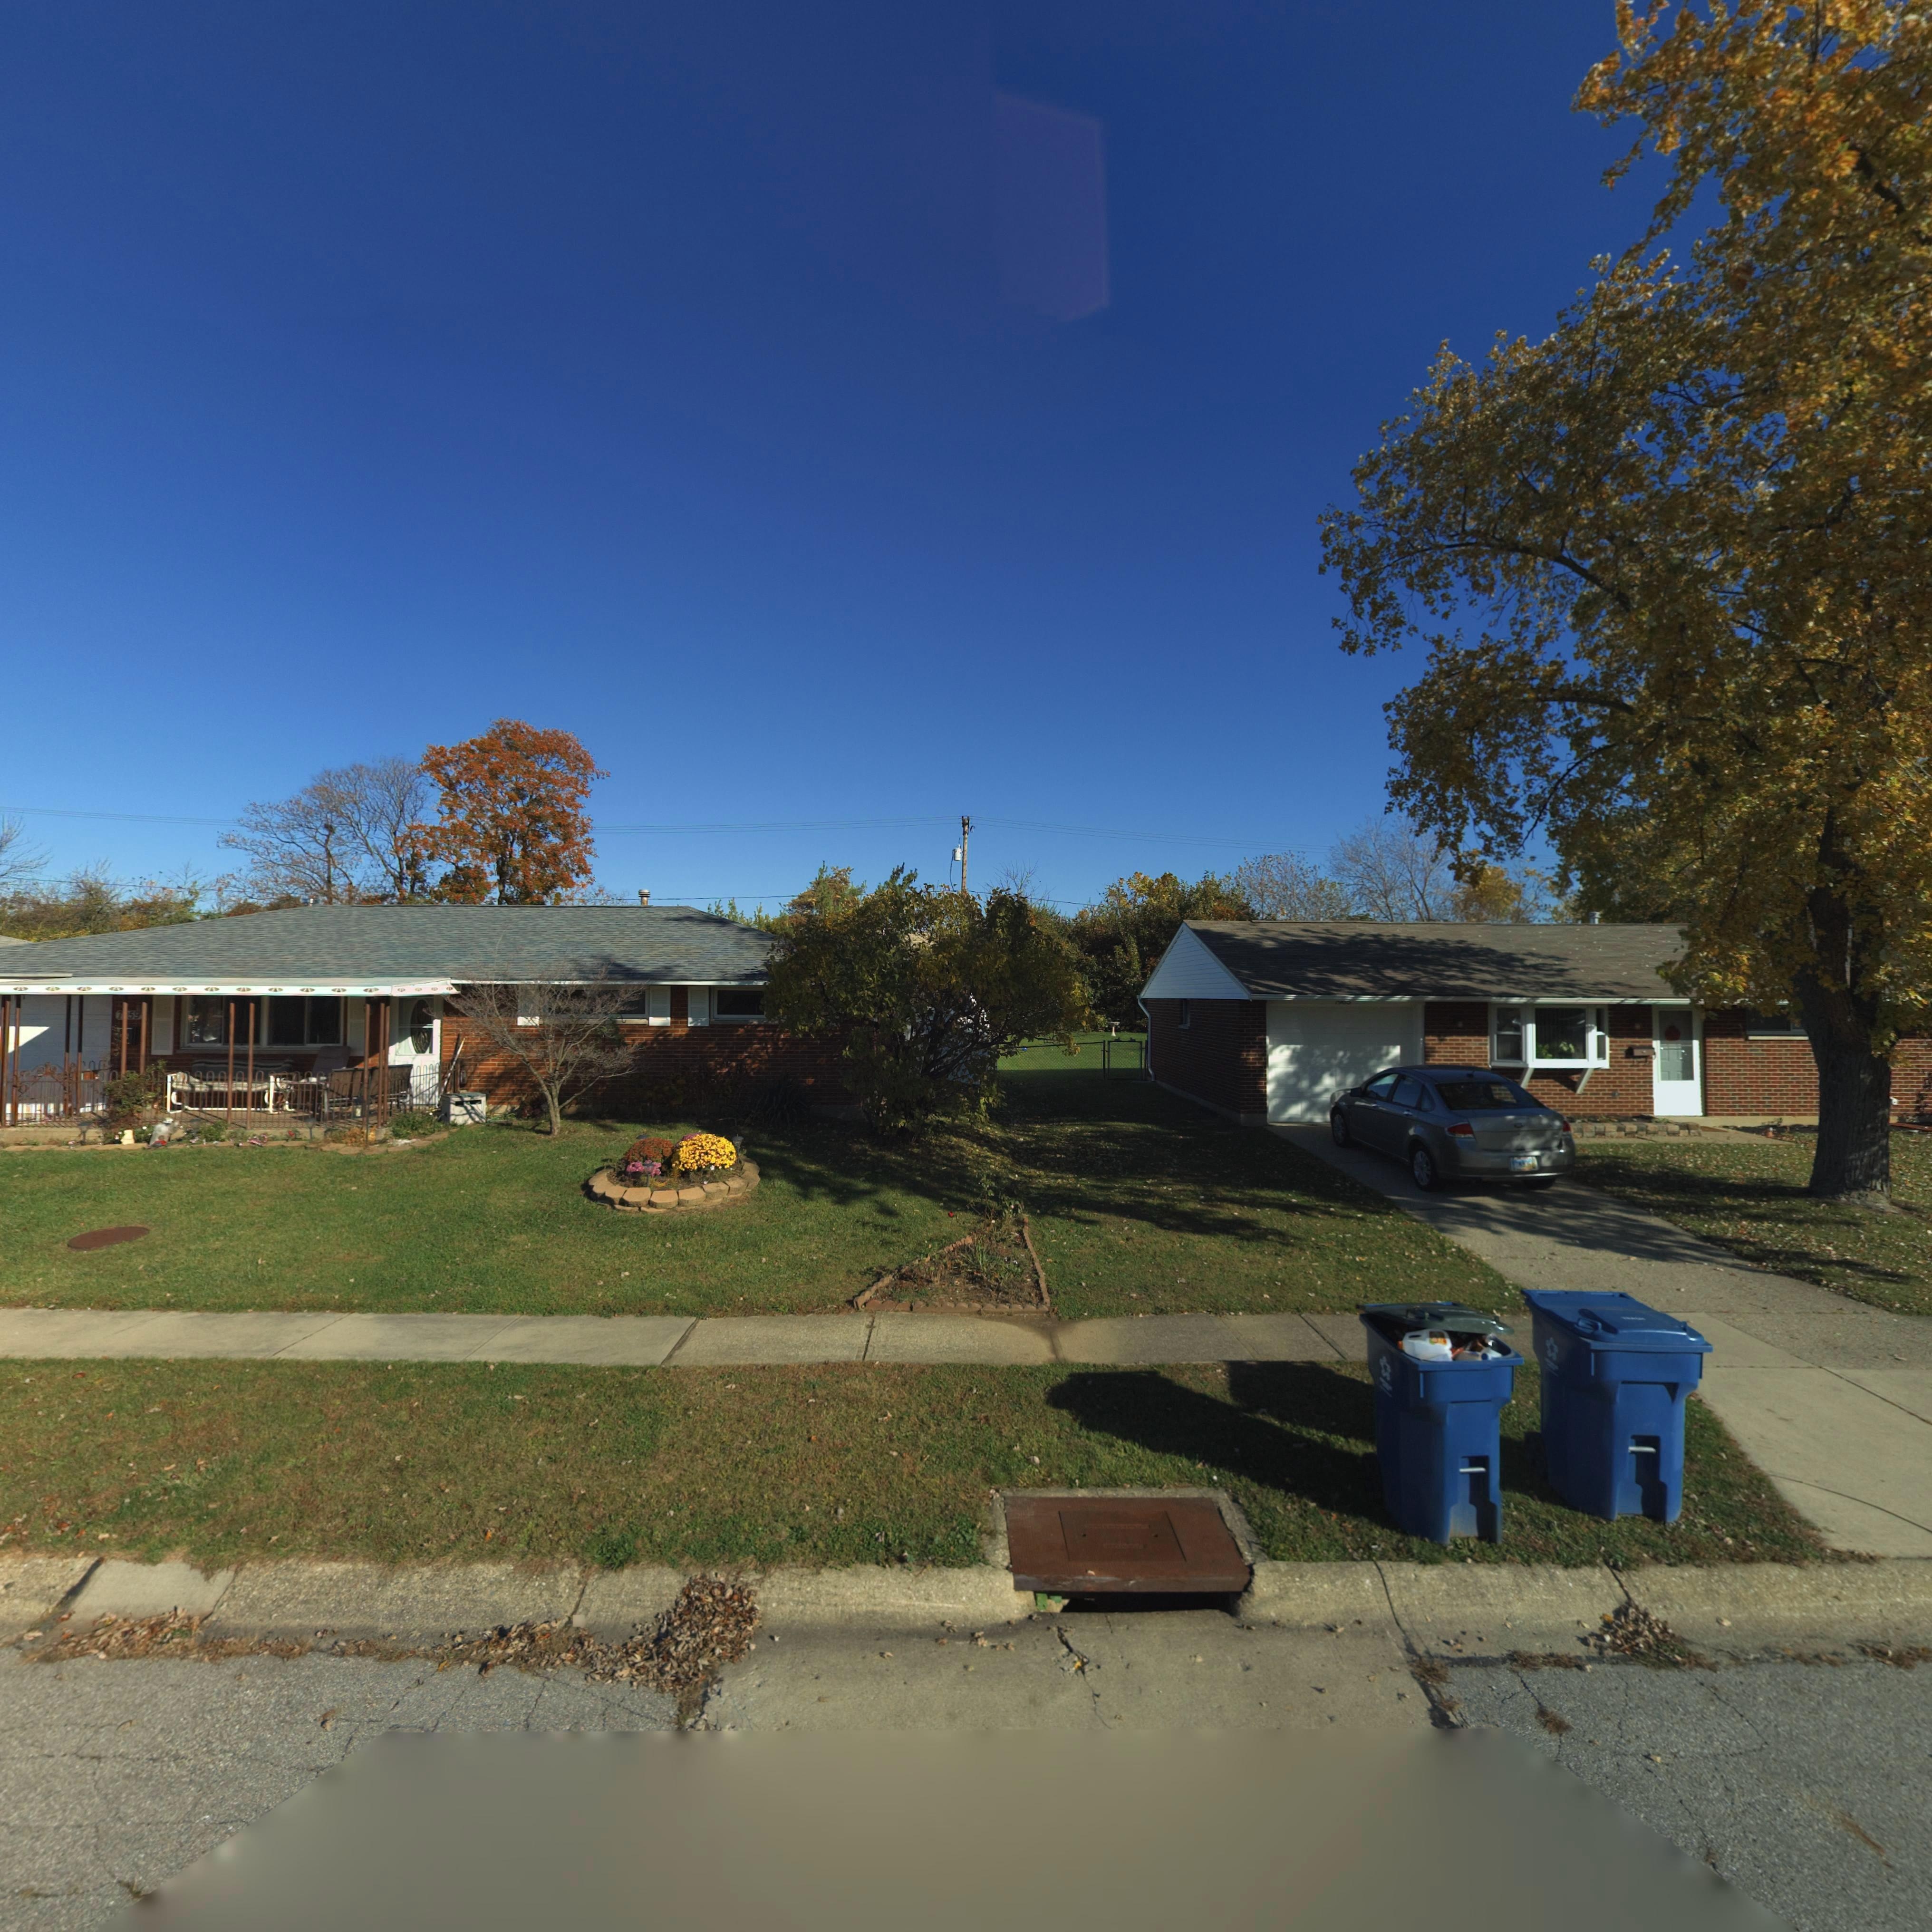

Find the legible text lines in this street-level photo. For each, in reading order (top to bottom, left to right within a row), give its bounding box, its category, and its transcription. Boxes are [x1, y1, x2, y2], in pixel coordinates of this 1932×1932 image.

[116, 1009, 141, 1020] StreetNumber: 7*5*